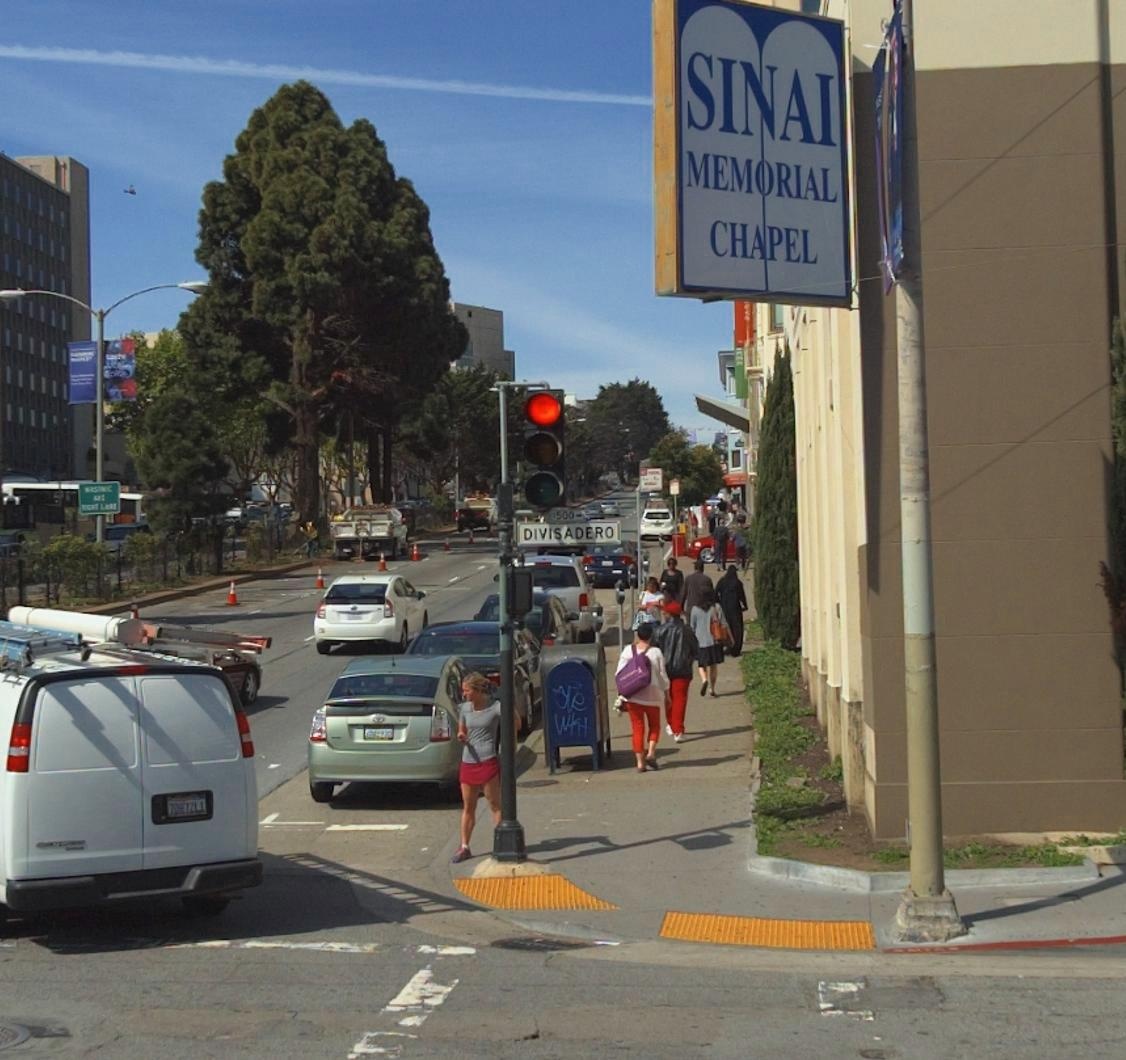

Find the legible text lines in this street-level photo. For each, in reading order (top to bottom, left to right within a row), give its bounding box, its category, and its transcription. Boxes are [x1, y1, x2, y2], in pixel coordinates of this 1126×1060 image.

[686, 51, 838, 147] BusinessName: SINAI
[687, 151, 838, 204] BusinessName: MEMORIAL
[708, 220, 817, 265] BusinessName: CHAPEL
[550, 508, 583, 520] StreetNumberRange: 1500->
[519, 525, 617, 541] StreetName: DIVISADERO